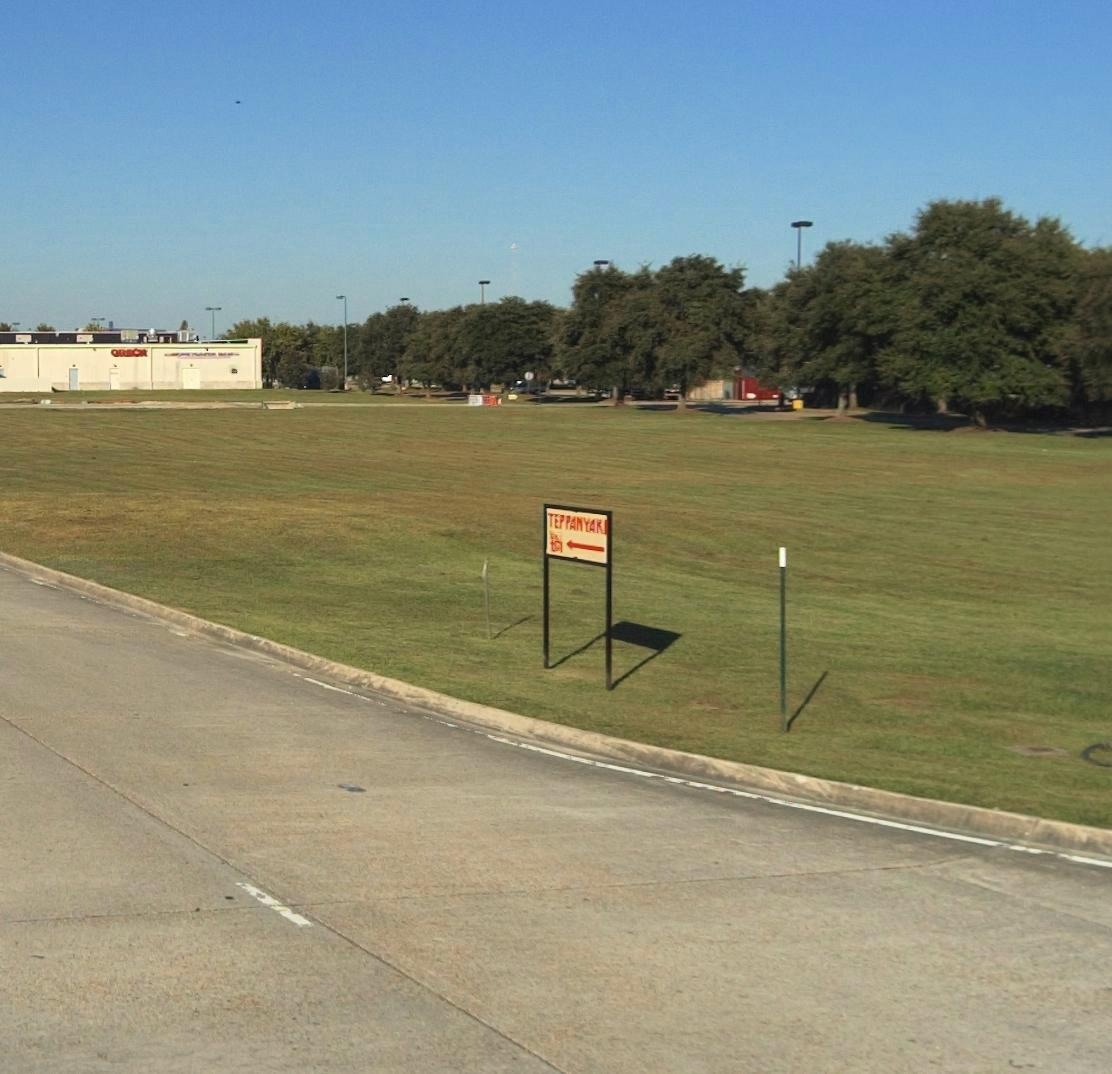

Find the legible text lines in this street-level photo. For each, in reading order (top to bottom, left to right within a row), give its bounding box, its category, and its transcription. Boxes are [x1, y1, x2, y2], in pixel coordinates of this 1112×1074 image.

[110, 346, 150, 359] BusinessName: OR*CK
[546, 511, 608, 536] BusinessName: TEPPANYAKI